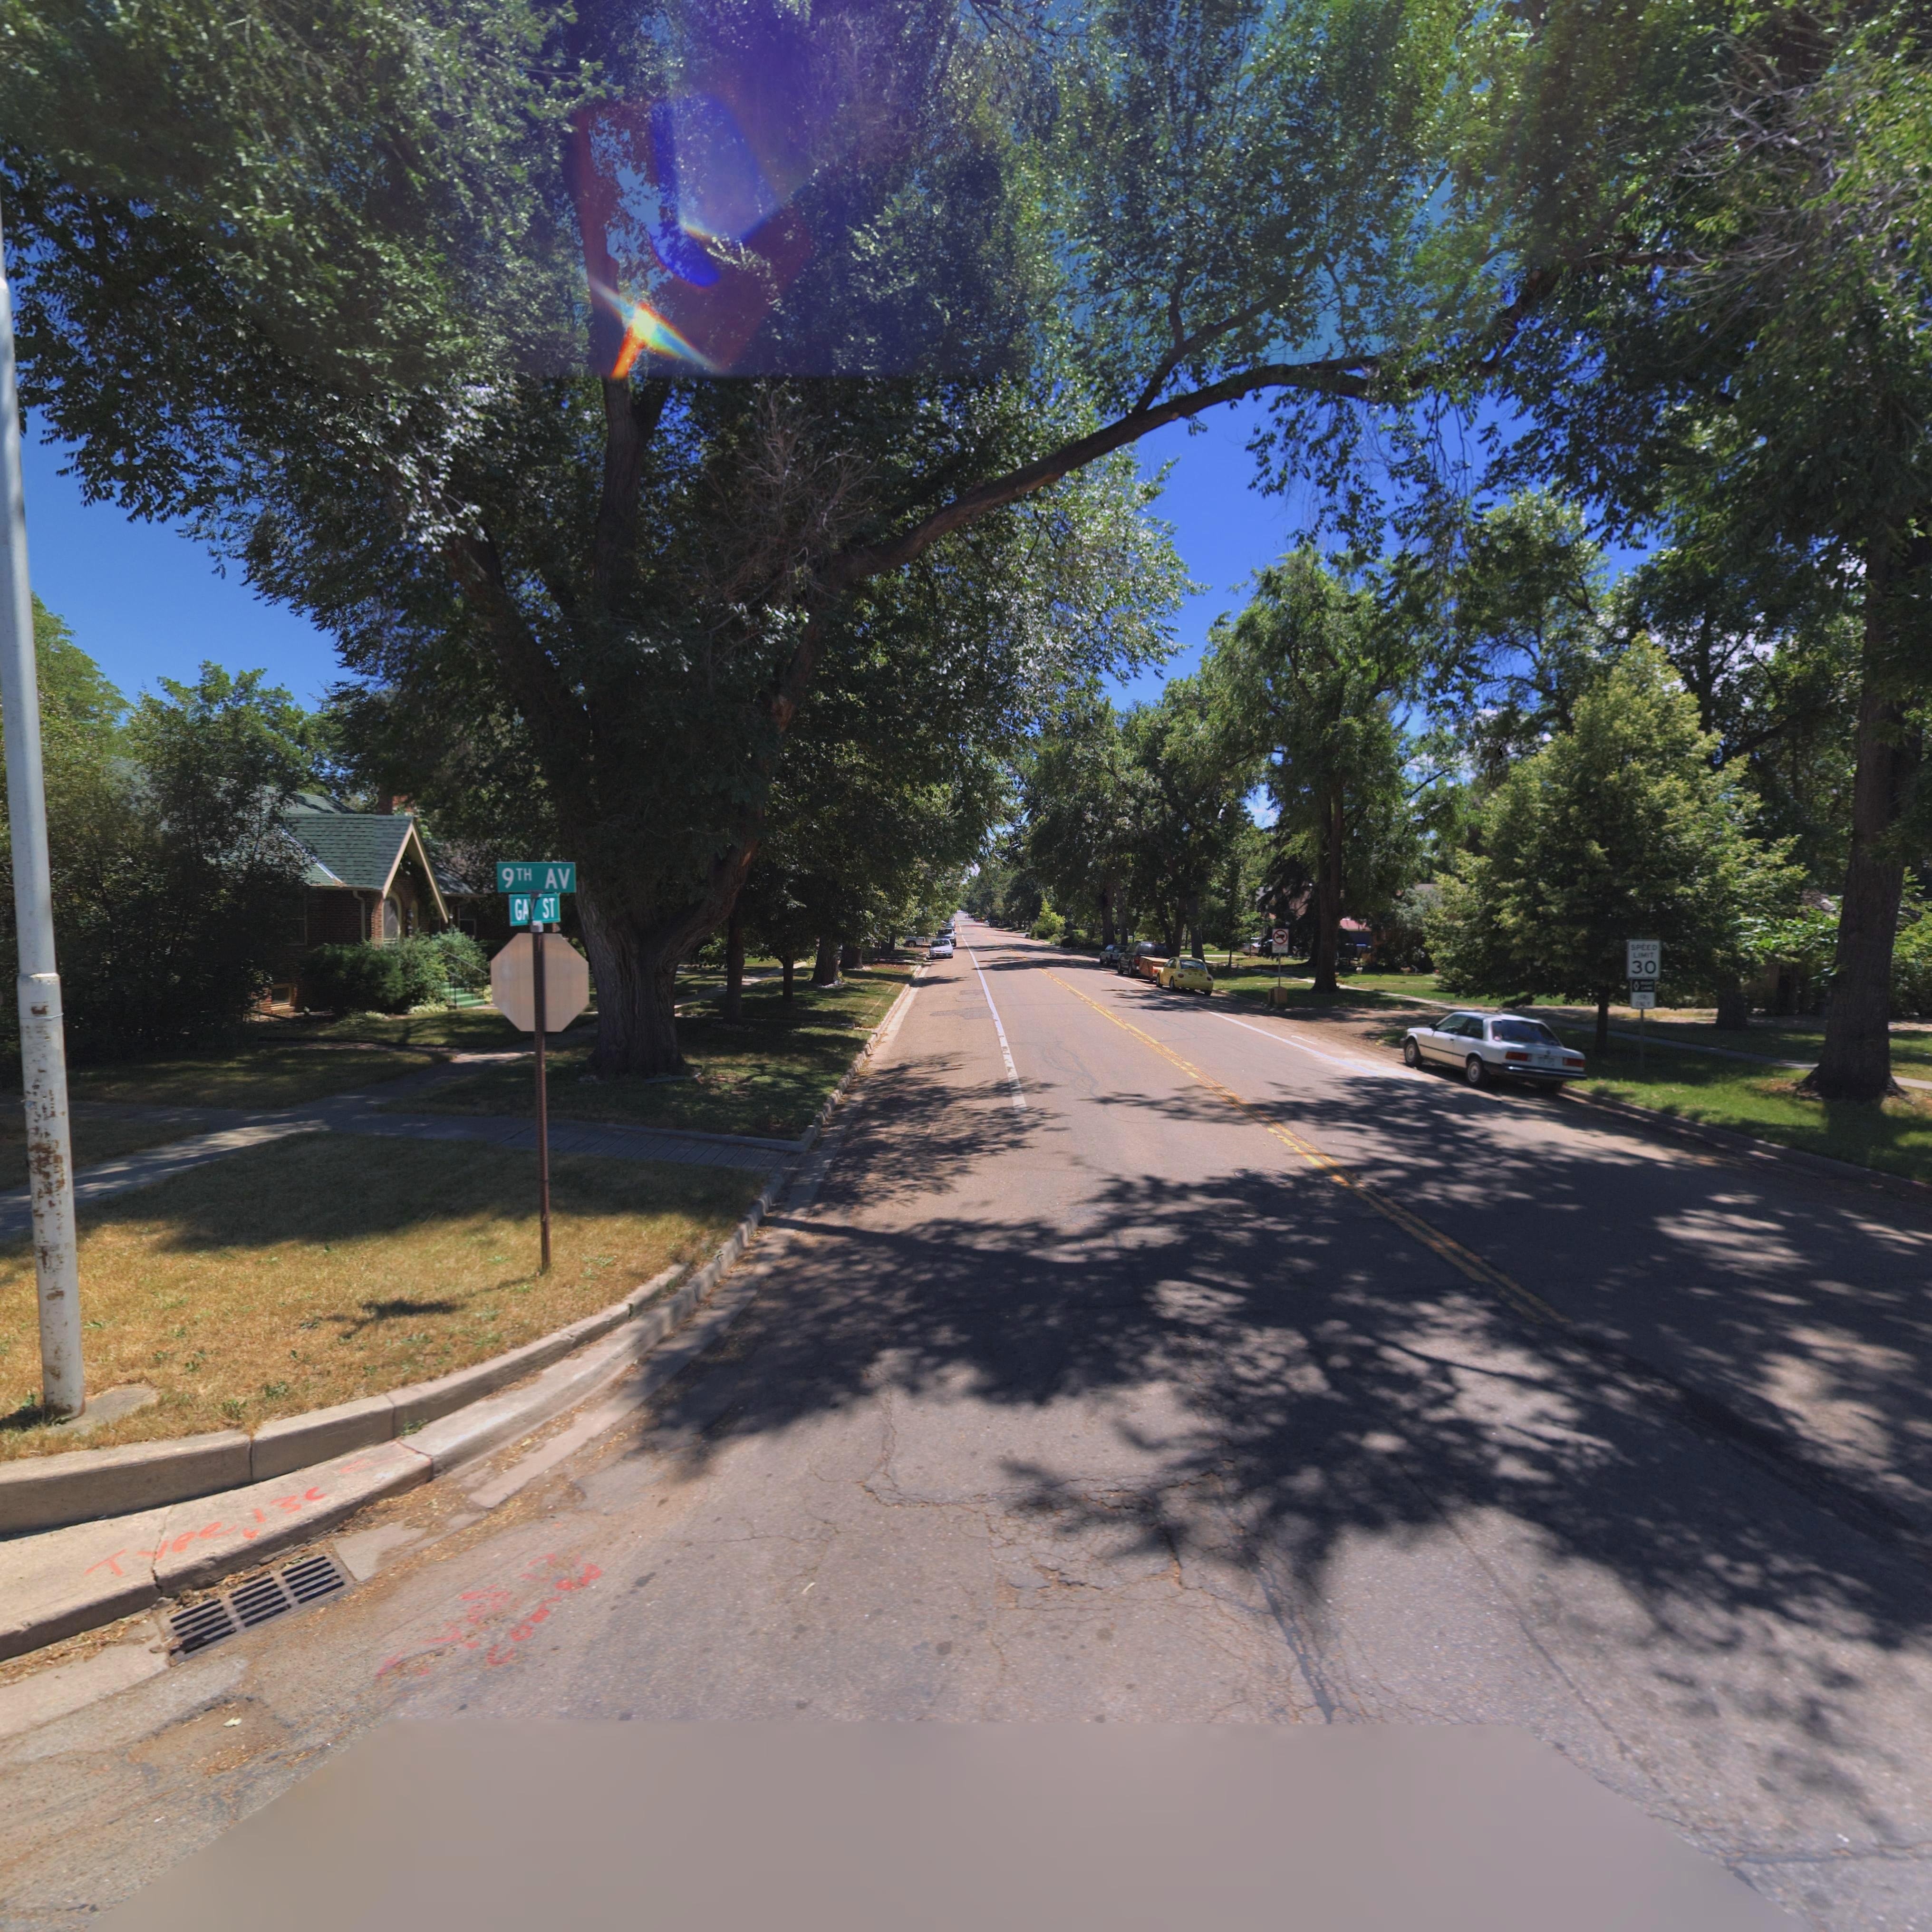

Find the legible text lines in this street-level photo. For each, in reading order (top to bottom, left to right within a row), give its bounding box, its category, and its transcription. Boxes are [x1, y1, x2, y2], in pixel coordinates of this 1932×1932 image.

[501, 866, 570, 889] StreetName: 9TH AV
[514, 897, 555, 920] StreetName: GAY ST